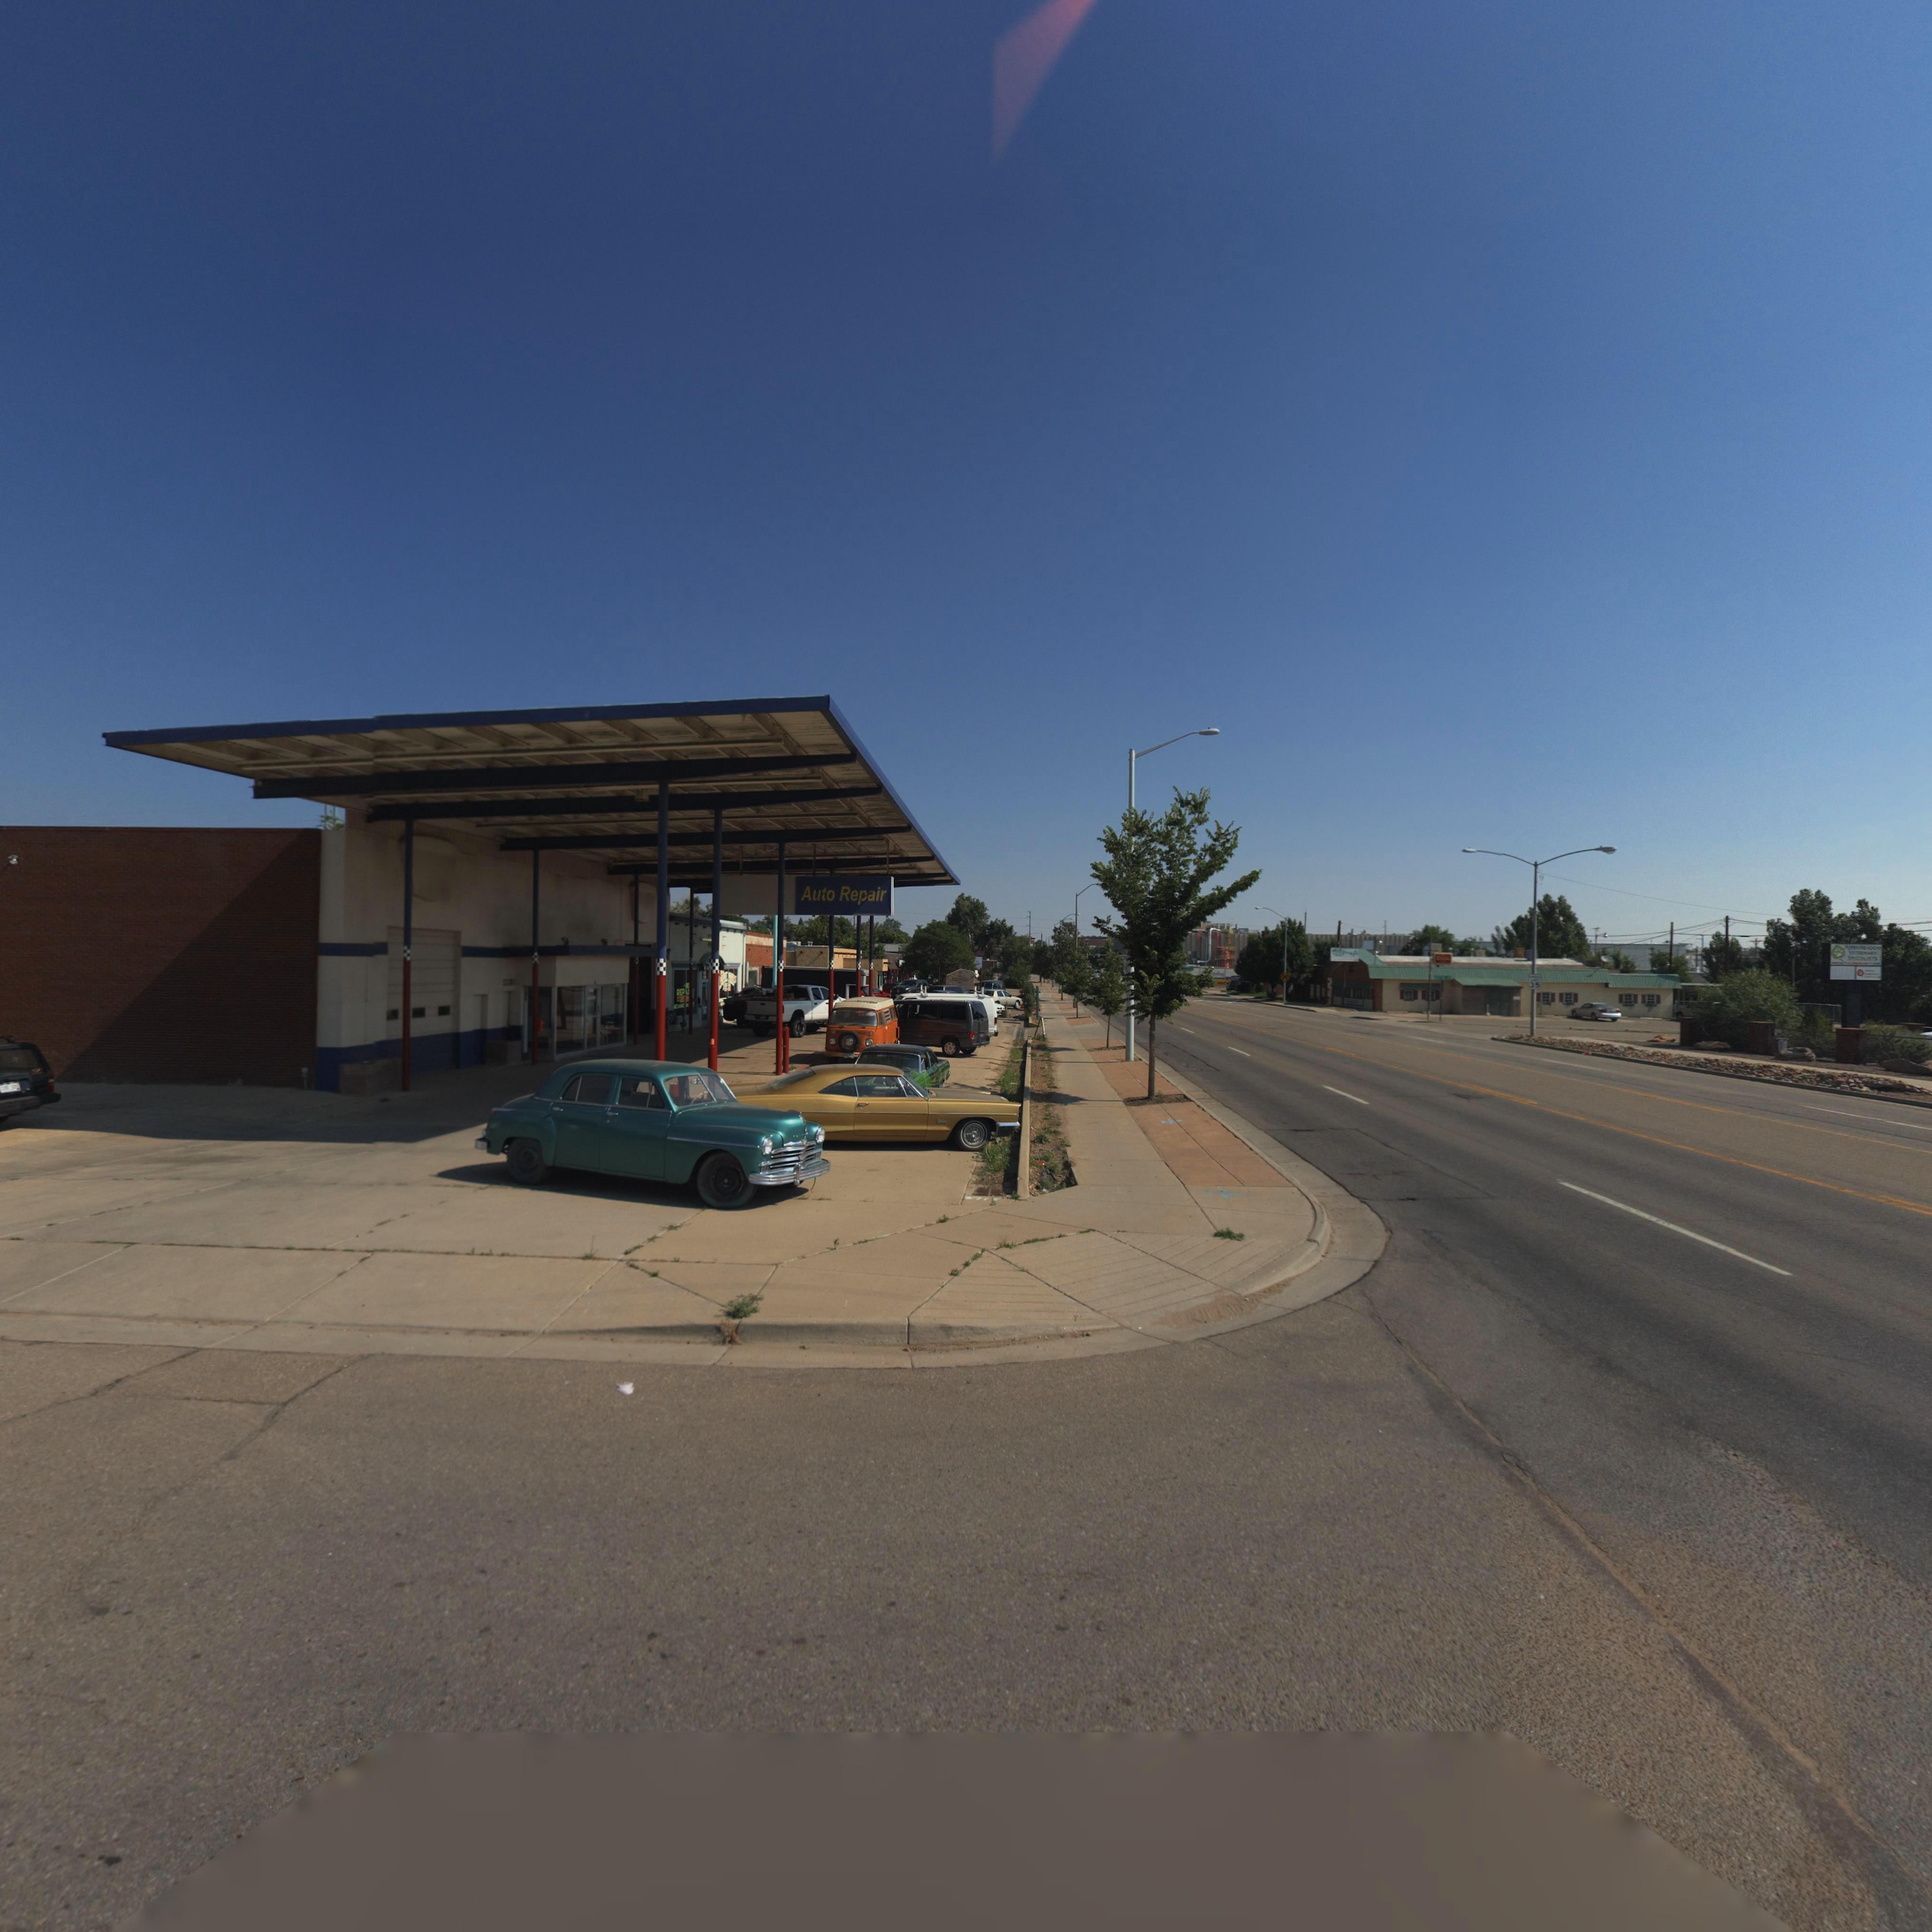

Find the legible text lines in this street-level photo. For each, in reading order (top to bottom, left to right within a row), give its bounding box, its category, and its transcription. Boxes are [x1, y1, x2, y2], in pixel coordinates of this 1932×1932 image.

[1847, 955, 1879, 961] BusinessName:  SP*********
[719, 971, 737, 985] BusinessName: A***T *****S